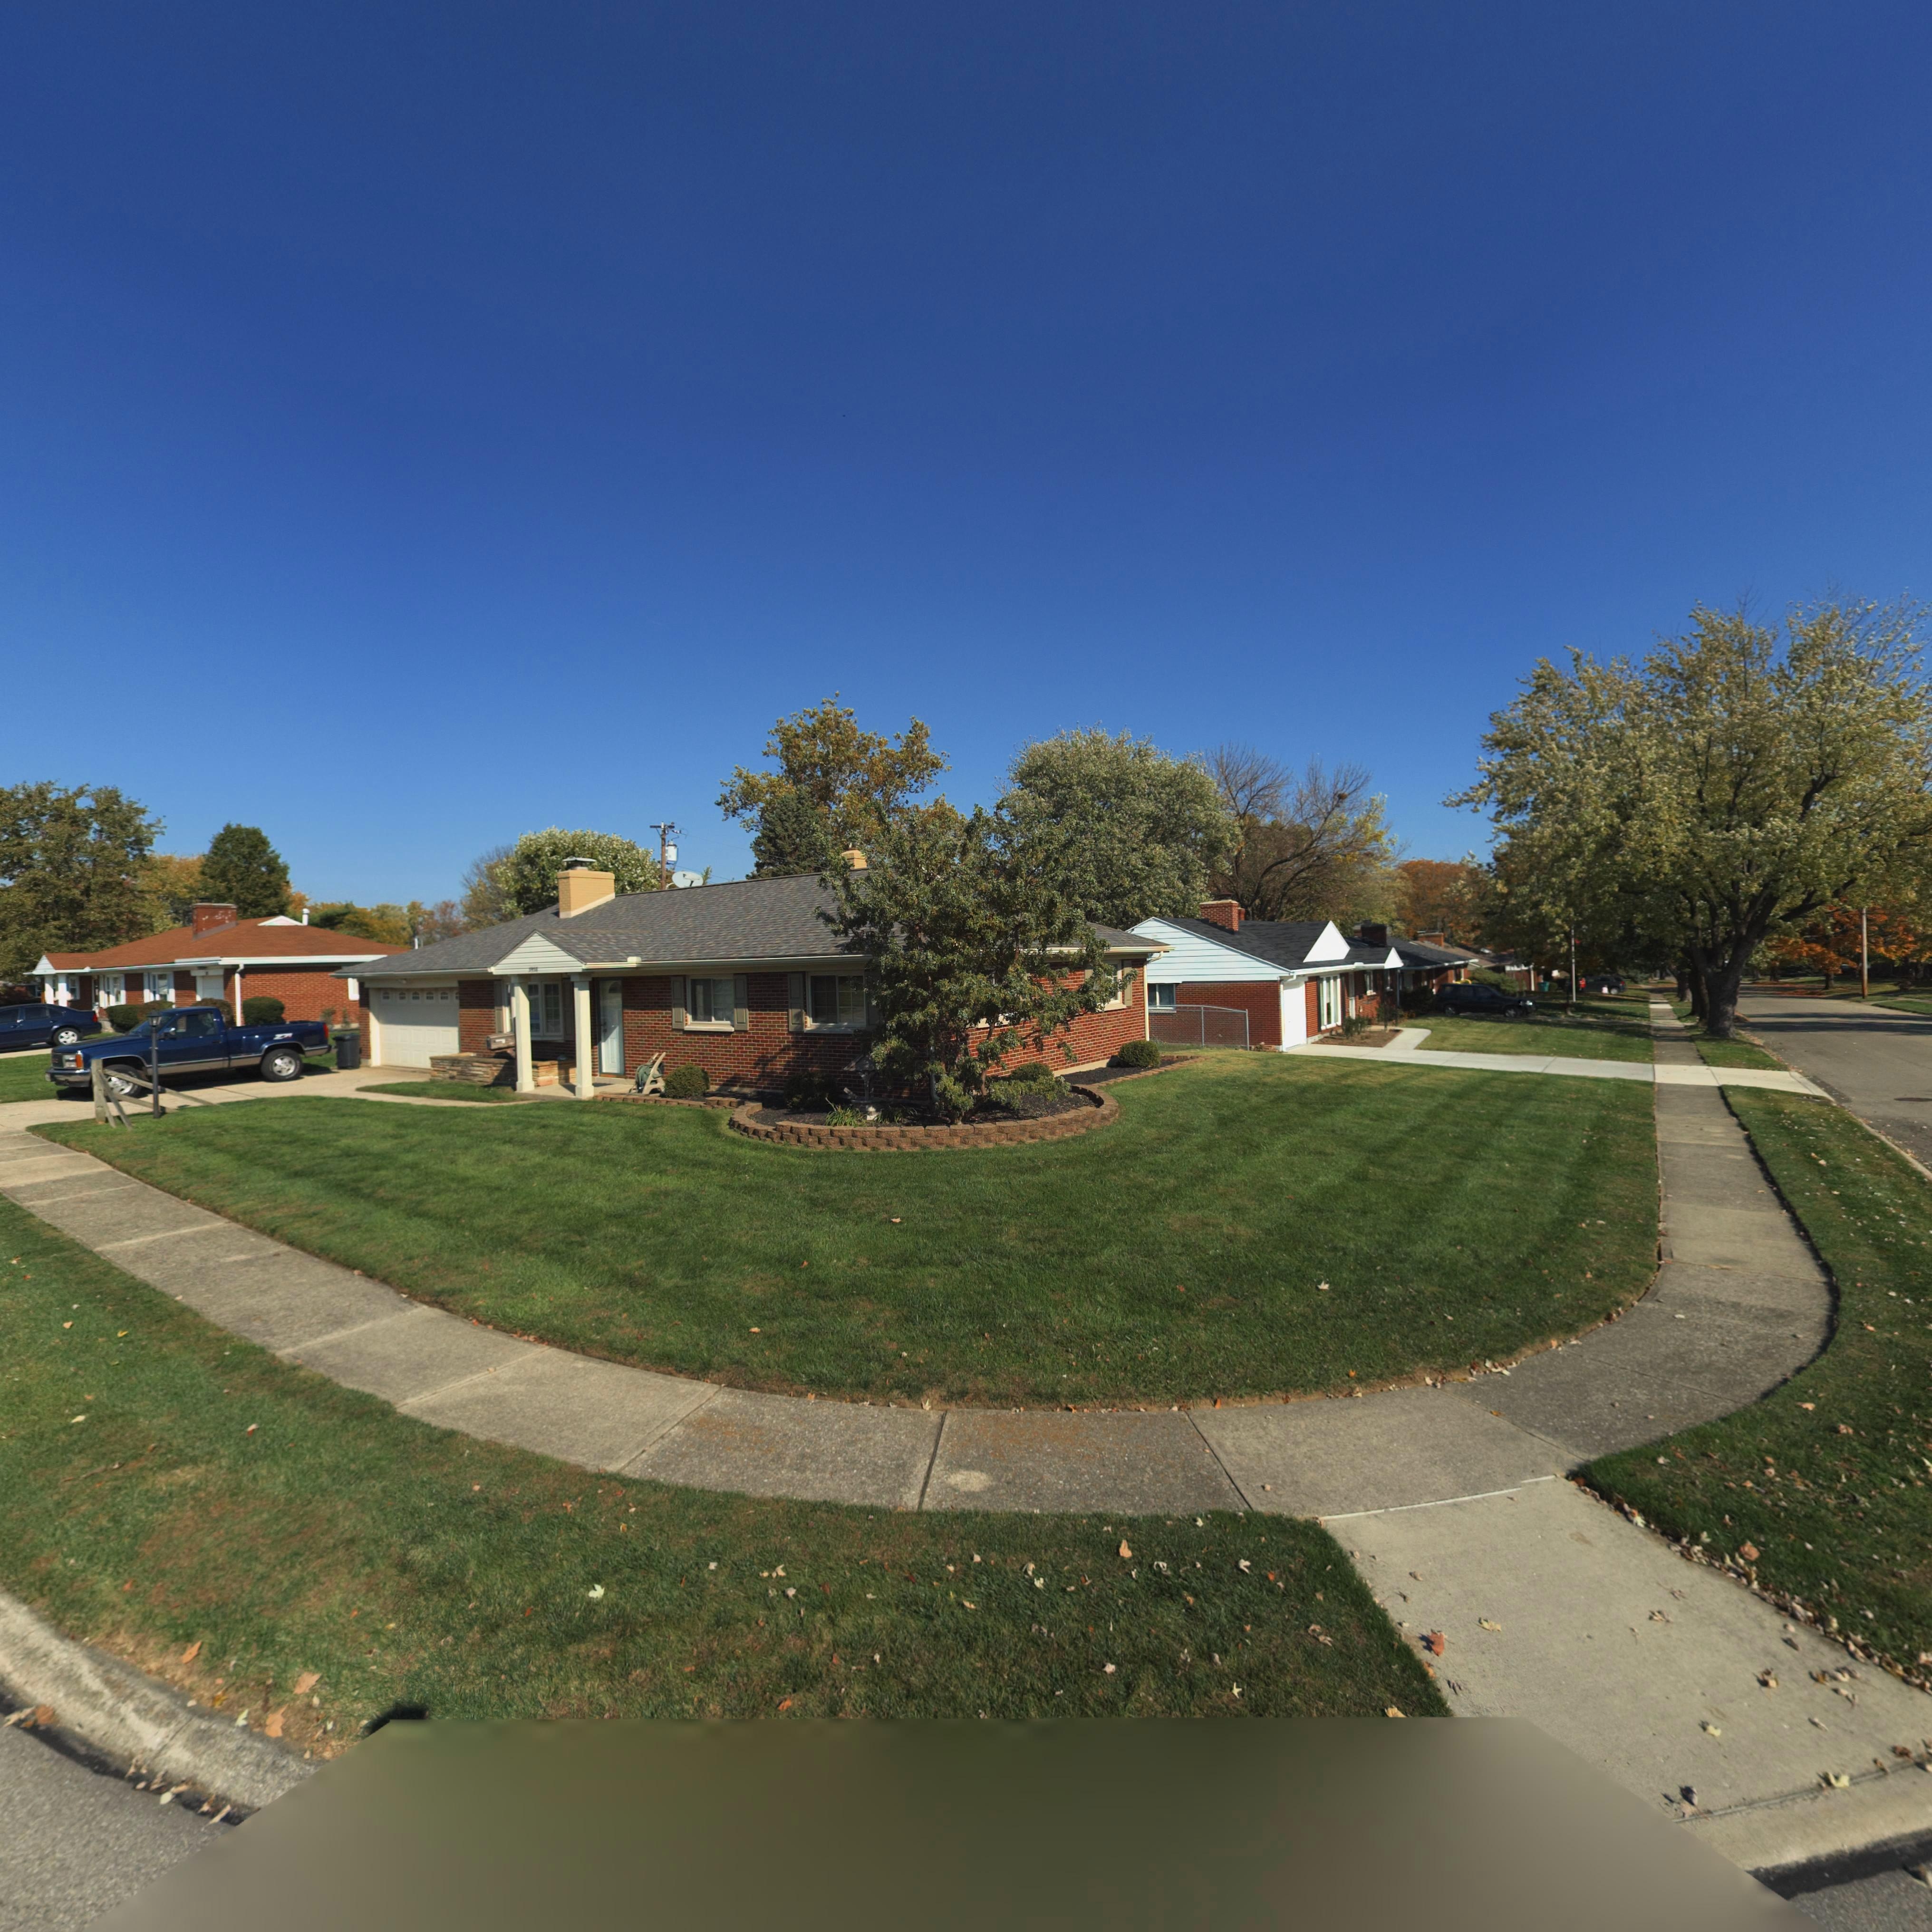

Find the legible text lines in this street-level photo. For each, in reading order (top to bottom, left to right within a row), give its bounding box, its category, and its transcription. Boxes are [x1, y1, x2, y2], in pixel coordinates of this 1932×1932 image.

[528, 966, 538, 972] StreetNumber: 3938
[272, 1032, 294, 1040] None: Z71